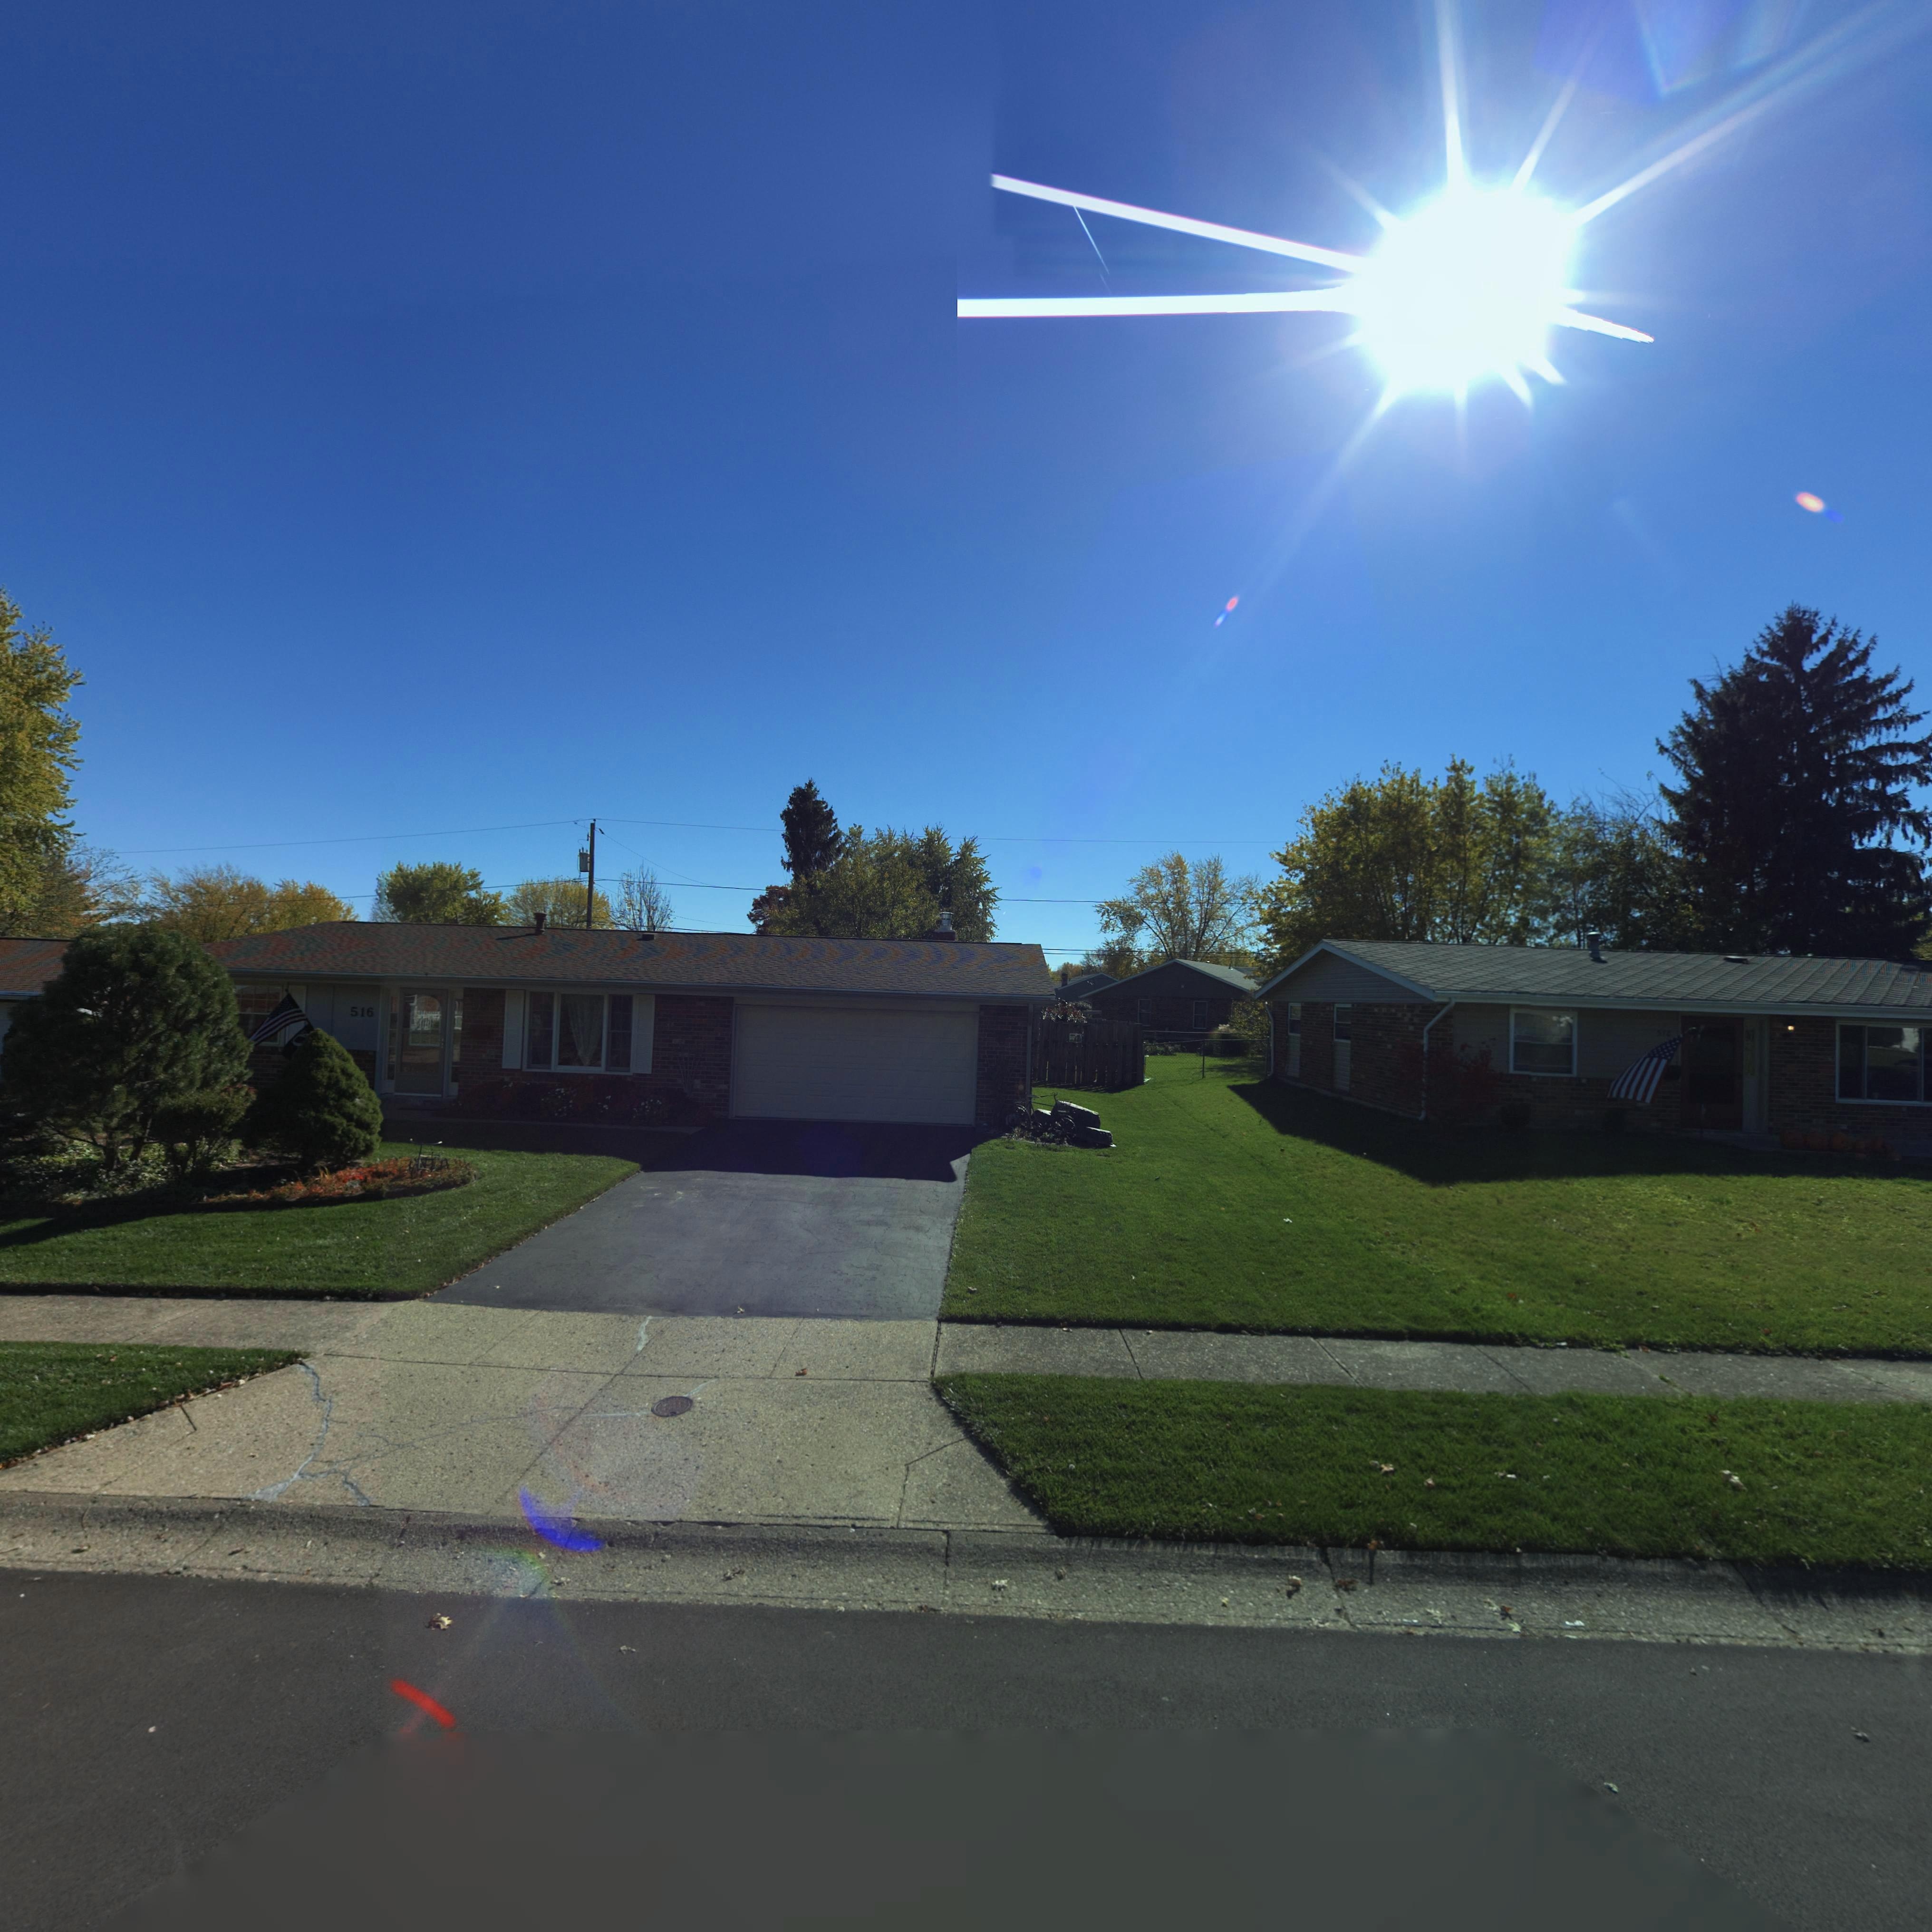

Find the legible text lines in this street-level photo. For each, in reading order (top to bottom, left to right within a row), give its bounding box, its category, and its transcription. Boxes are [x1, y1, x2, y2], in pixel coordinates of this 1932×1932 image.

[350, 1005, 374, 1018] StreetNumber: 516
[1655, 1029, 1672, 1037] StreetNumber: 518